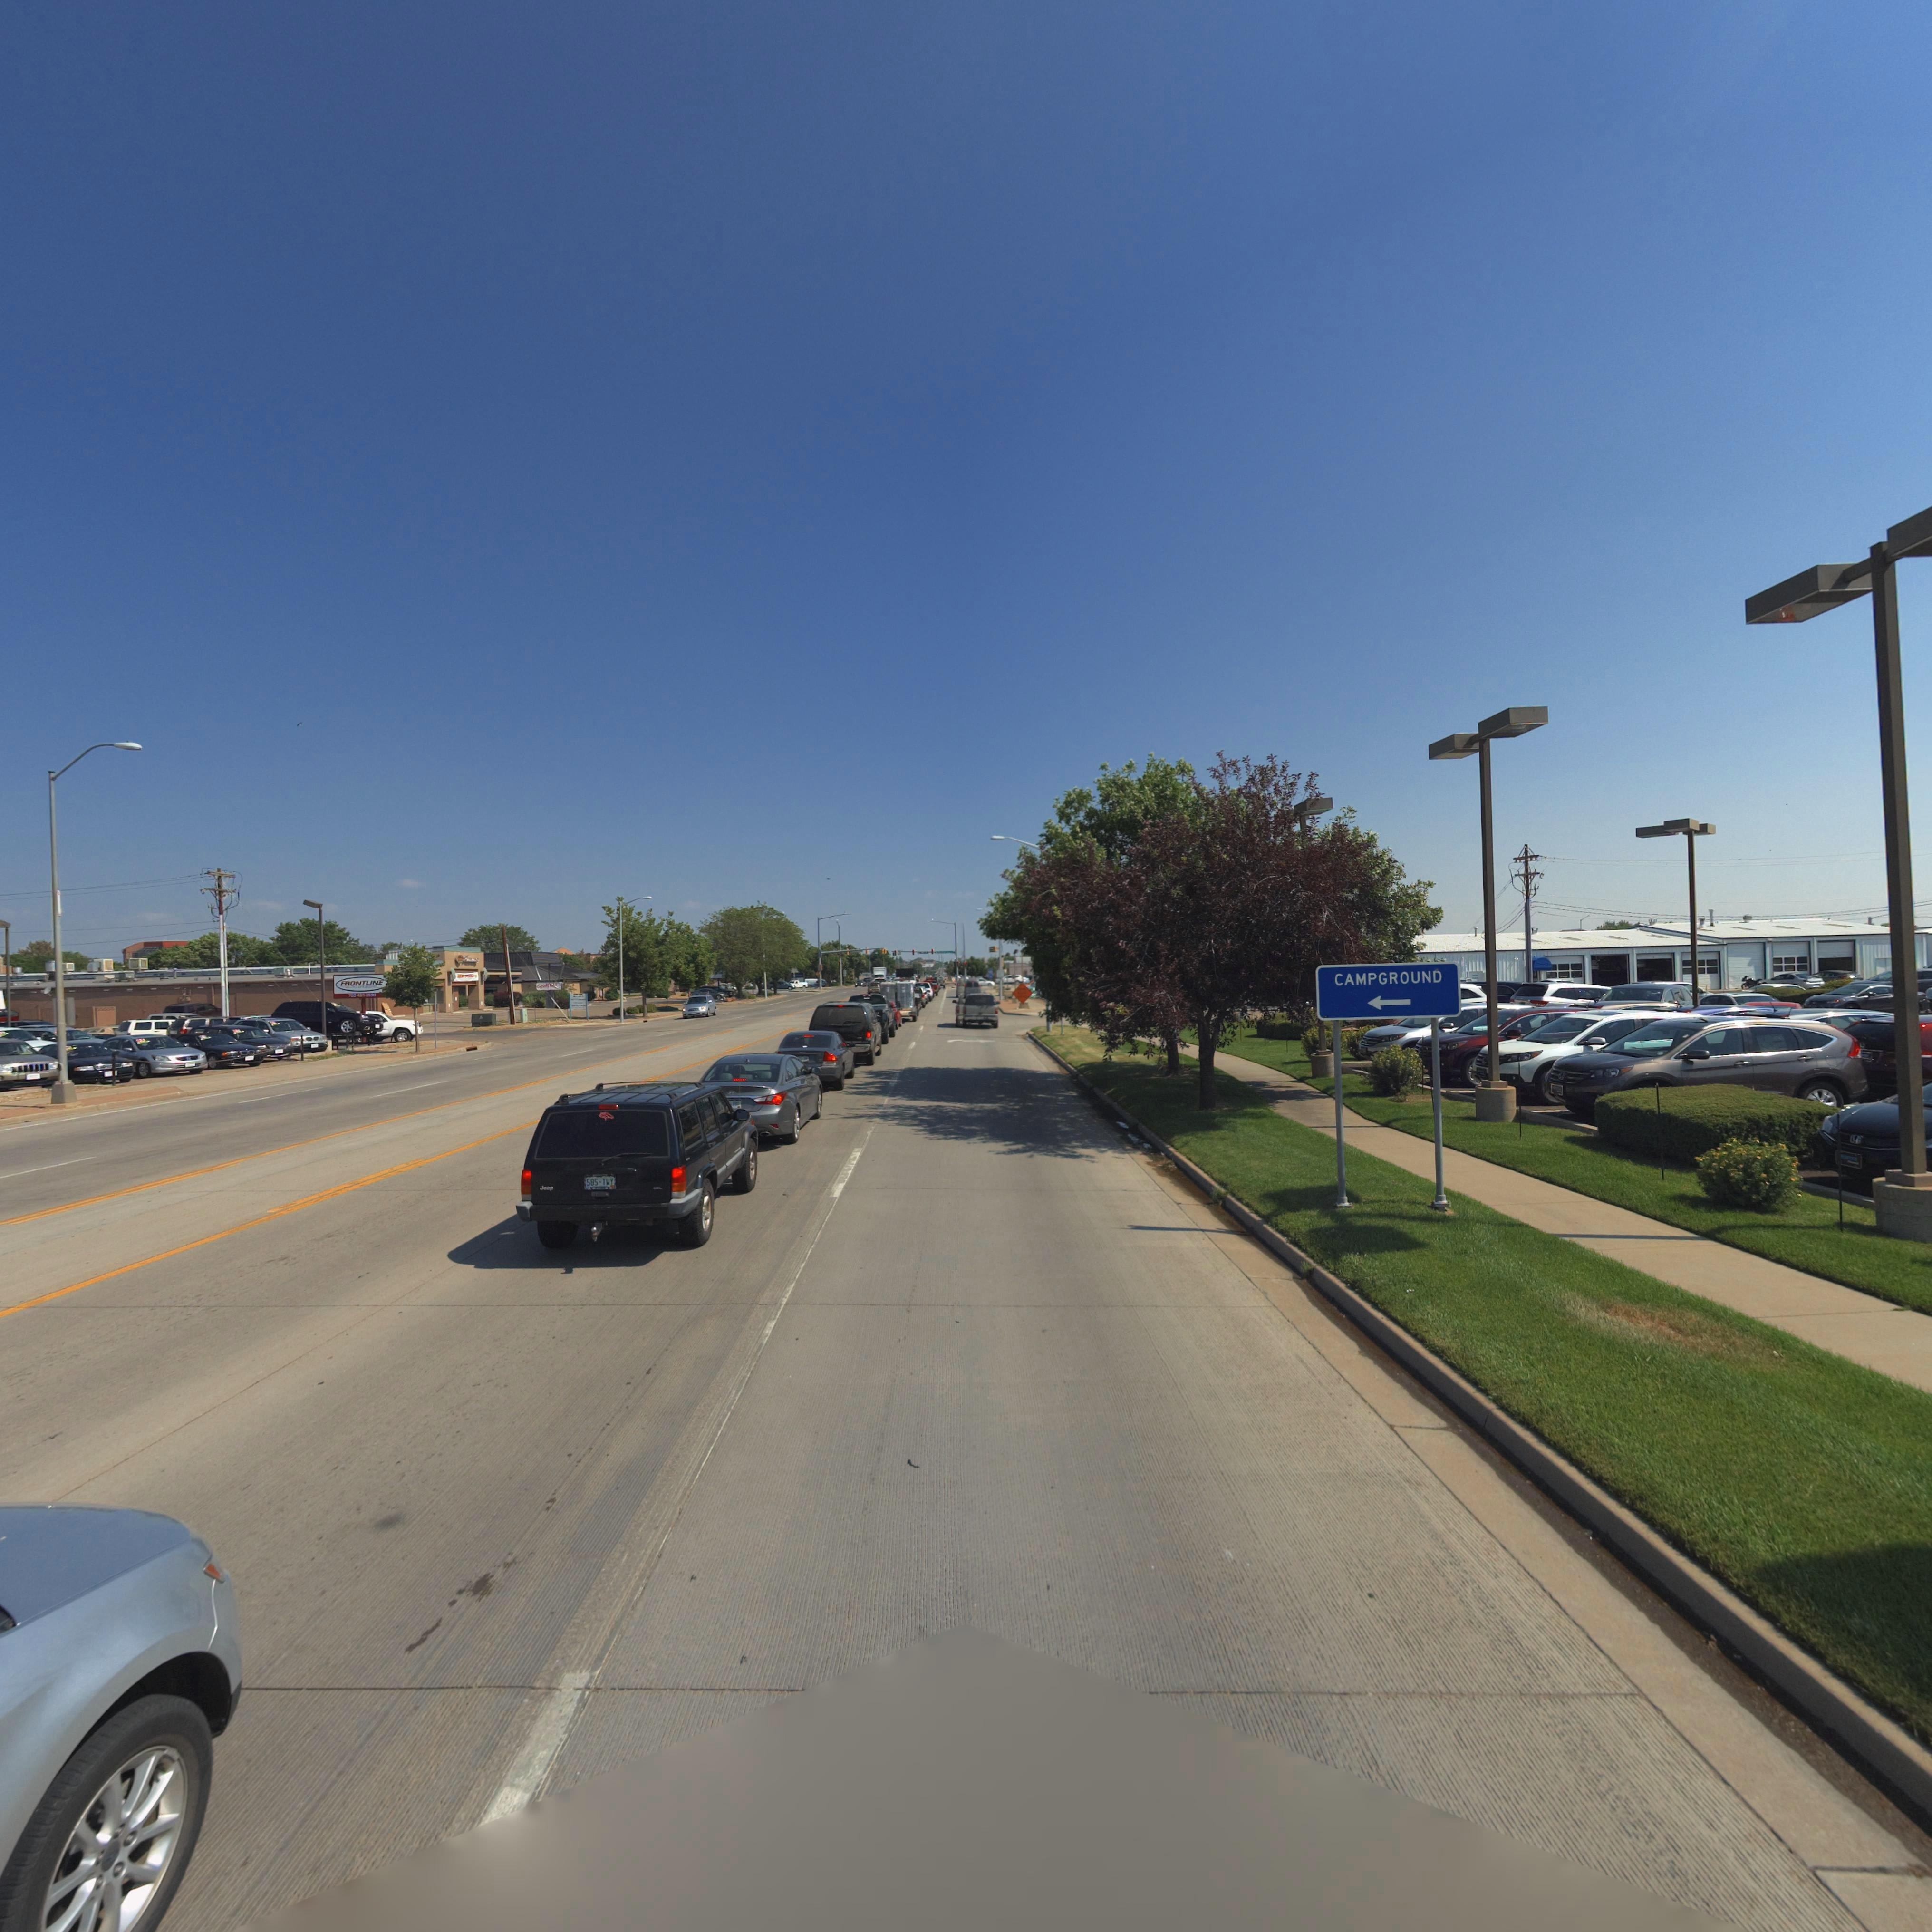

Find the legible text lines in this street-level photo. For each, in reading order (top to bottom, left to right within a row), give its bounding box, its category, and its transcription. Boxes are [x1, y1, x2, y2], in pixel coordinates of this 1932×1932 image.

[463, 954, 479, 963] BusinessName: Pharmacy
[340, 980, 384, 986] BusinessName: FRONTLINE
[536, 982, 561, 988] BusinessName: Goodfe*a**